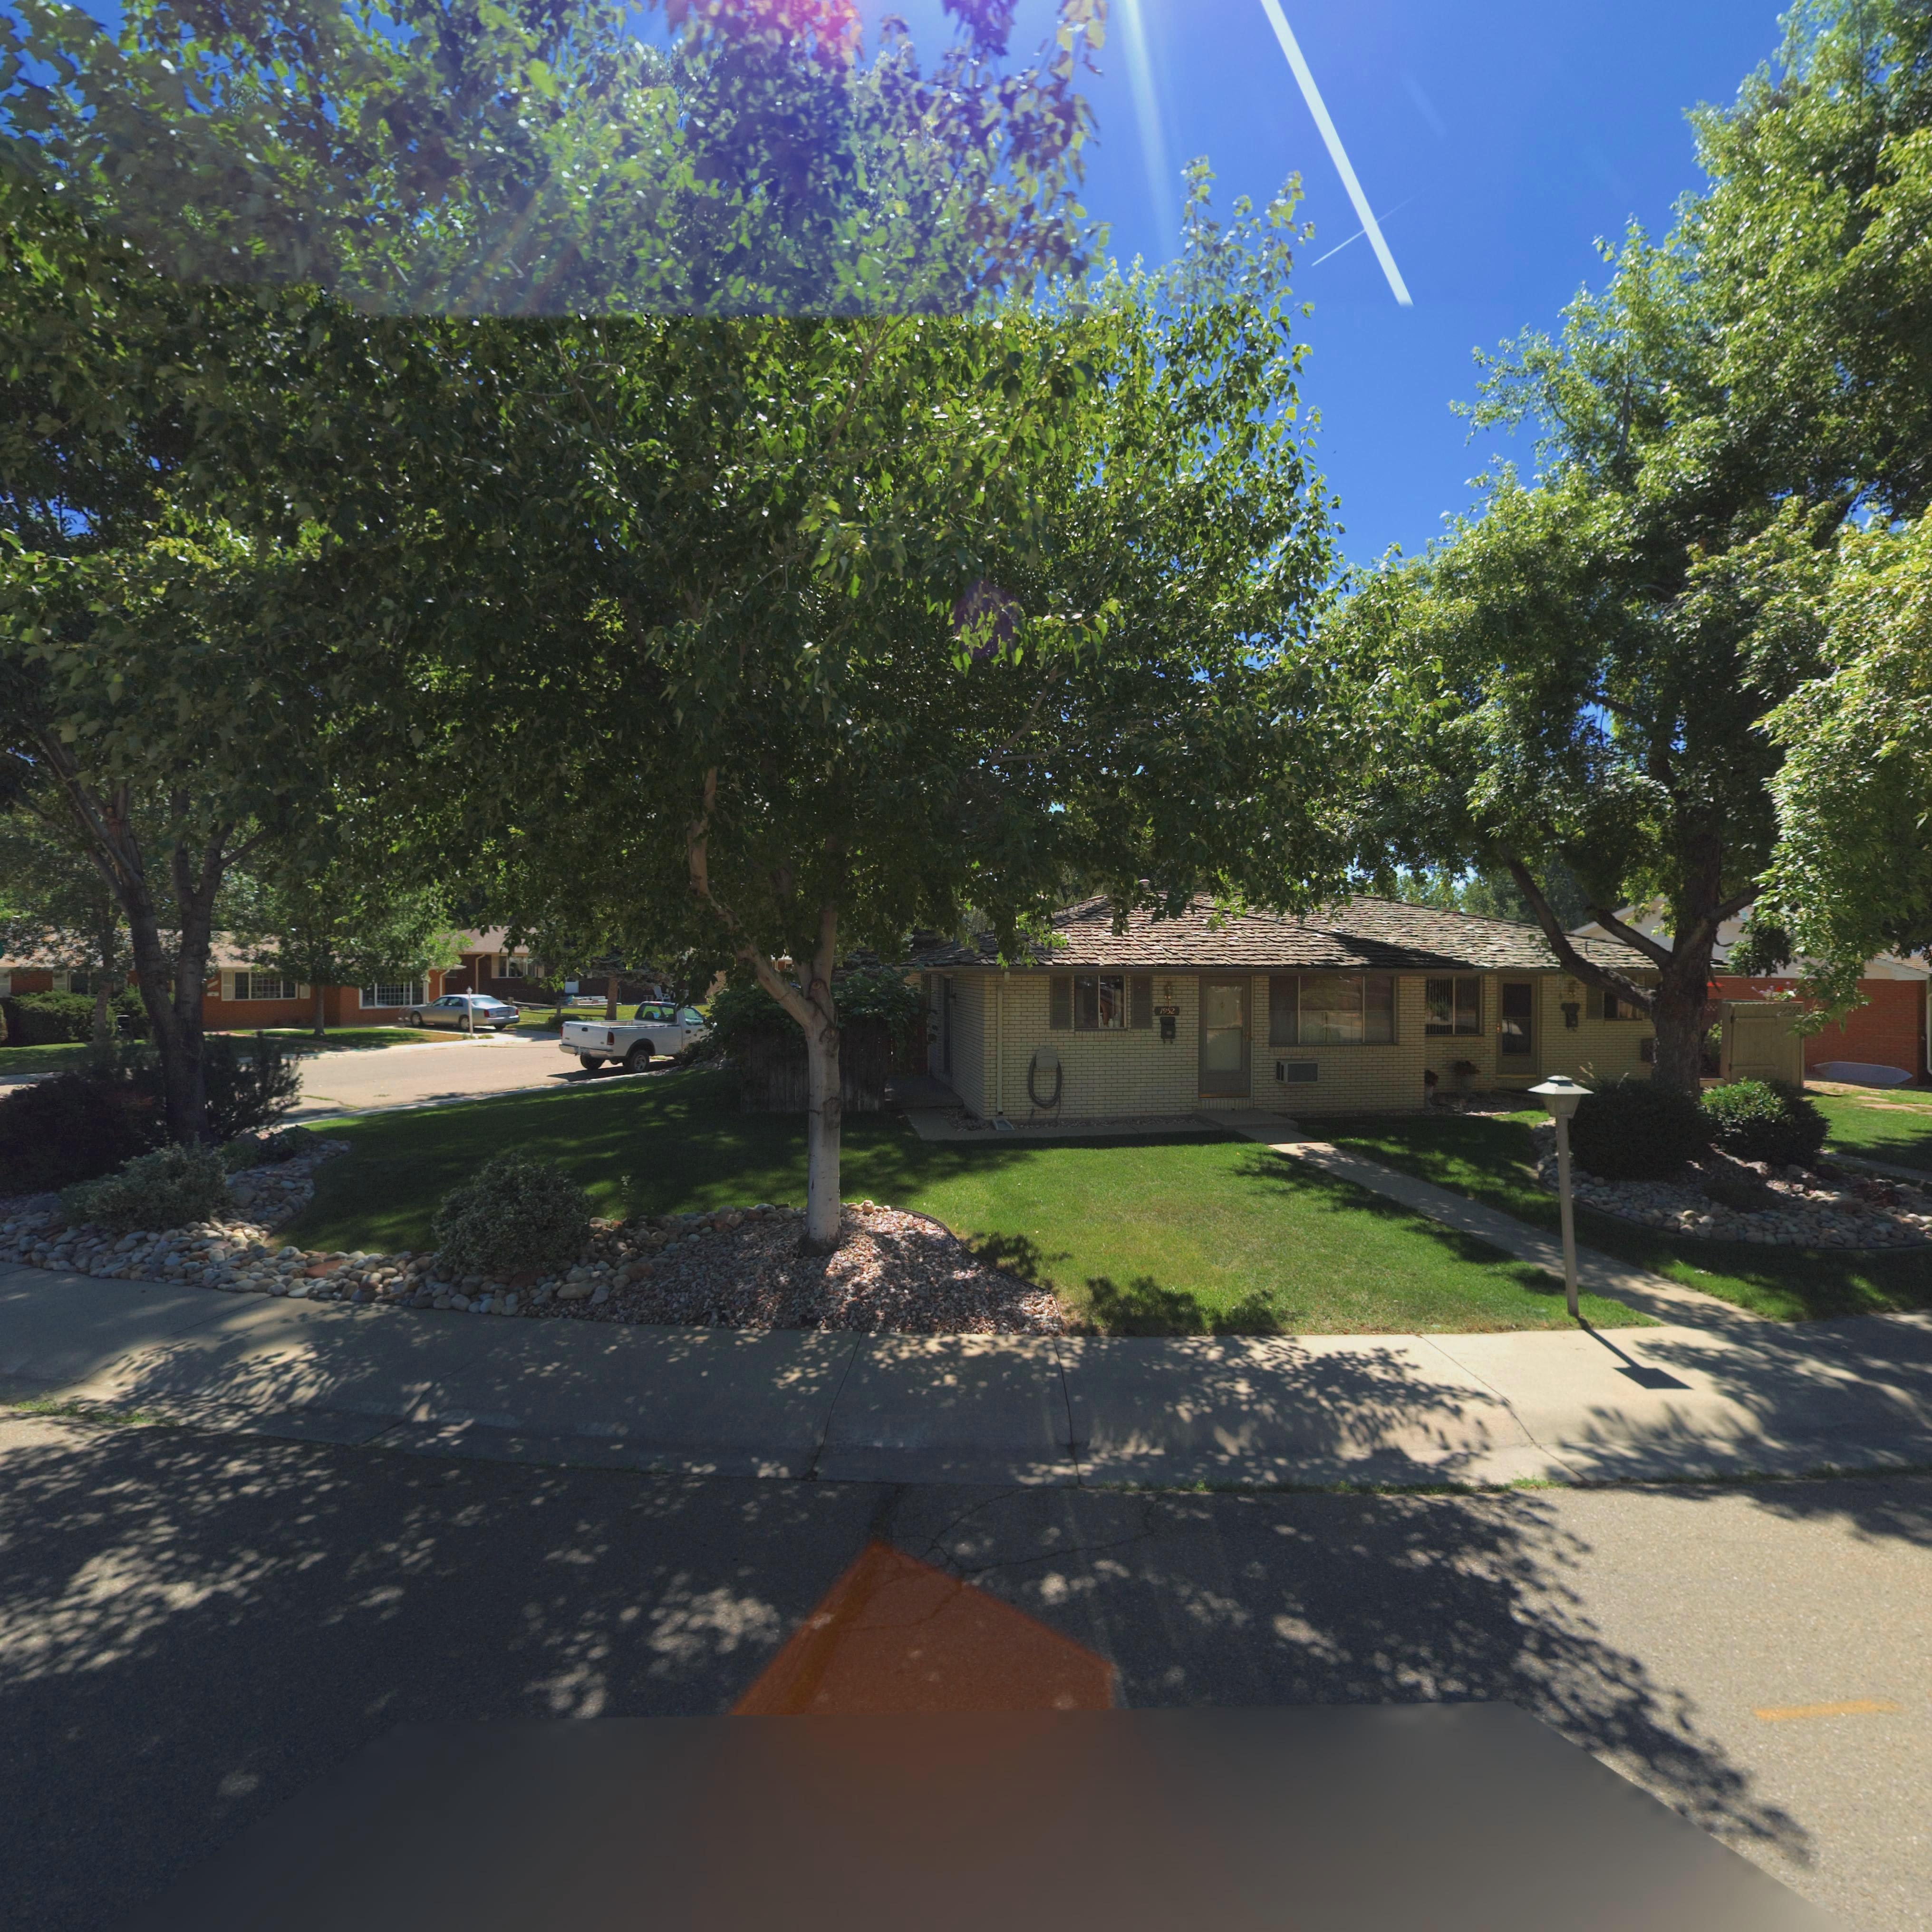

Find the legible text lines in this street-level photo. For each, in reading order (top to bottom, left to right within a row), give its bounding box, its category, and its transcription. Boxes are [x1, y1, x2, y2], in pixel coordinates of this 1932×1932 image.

[1159, 1007, 1175, 1014] StreetNumber: 1952